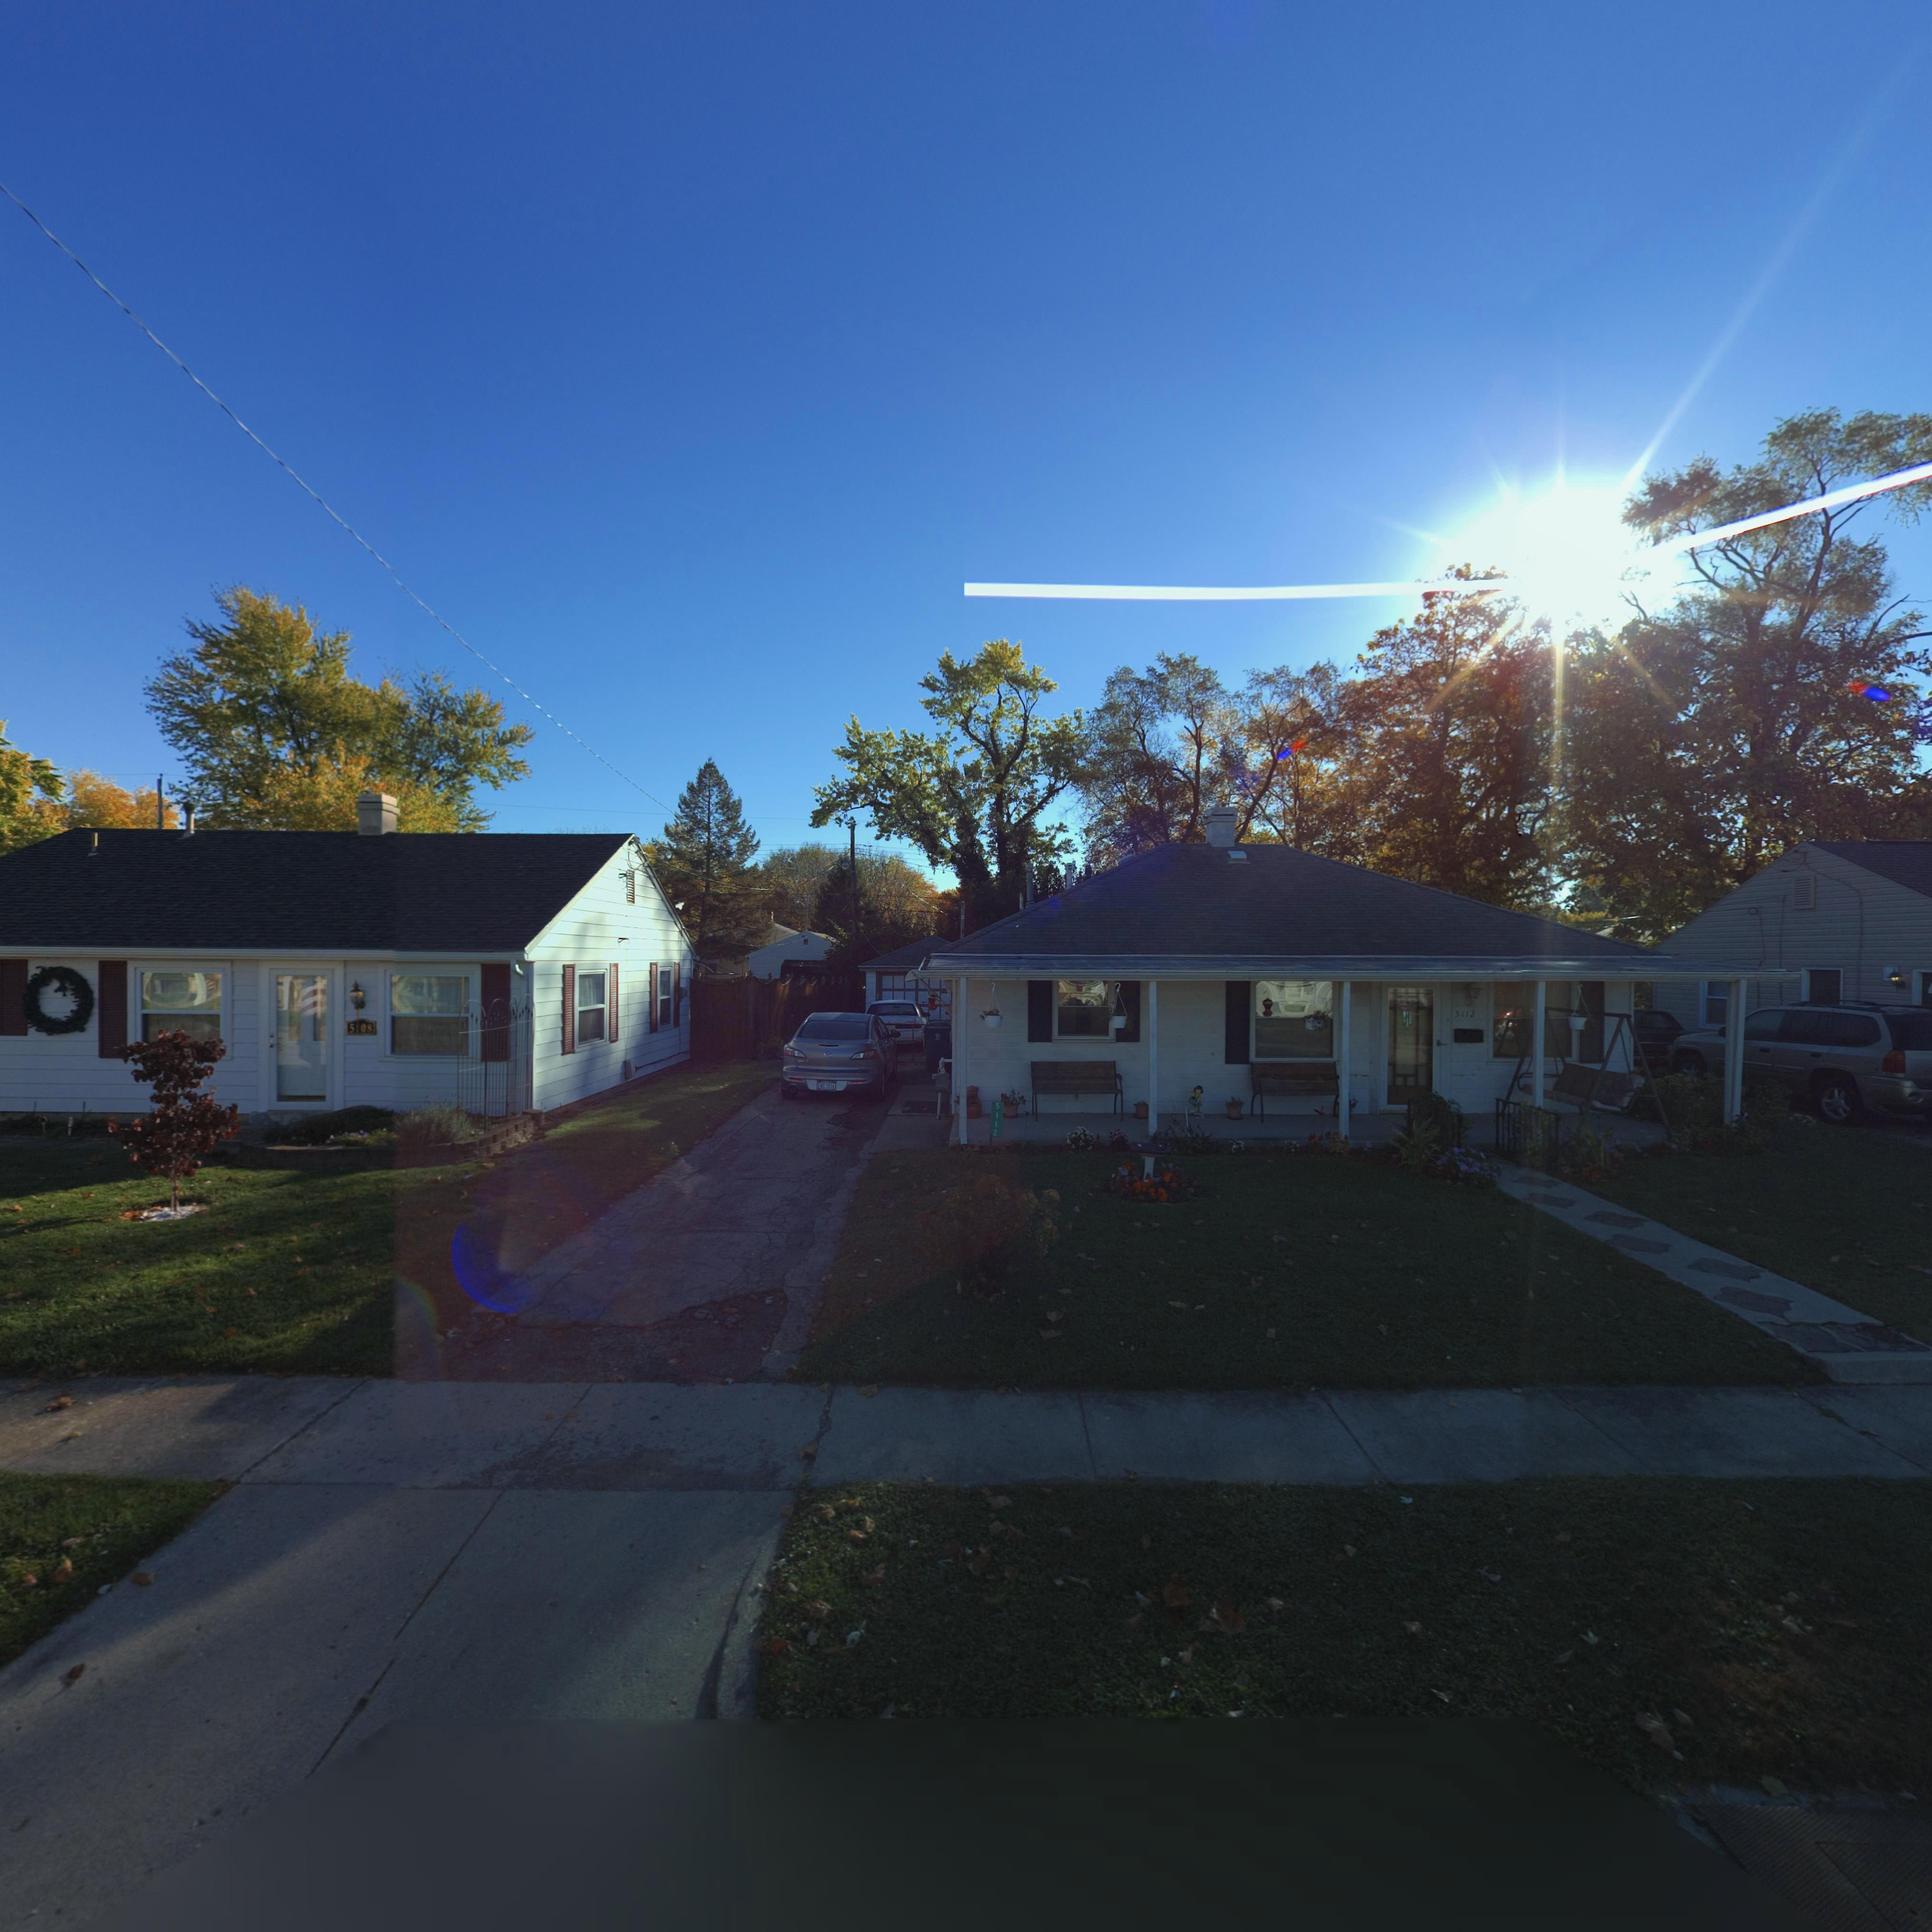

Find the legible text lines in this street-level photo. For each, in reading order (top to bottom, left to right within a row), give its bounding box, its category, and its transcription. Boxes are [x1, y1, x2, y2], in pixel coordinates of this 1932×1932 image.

[1454, 1010, 1476, 1018] StreetNumber: 5112
[348, 1023, 373, 1034] StreetNumber: 5108
[993, 1101, 1000, 1137] StreetNumber: 5112